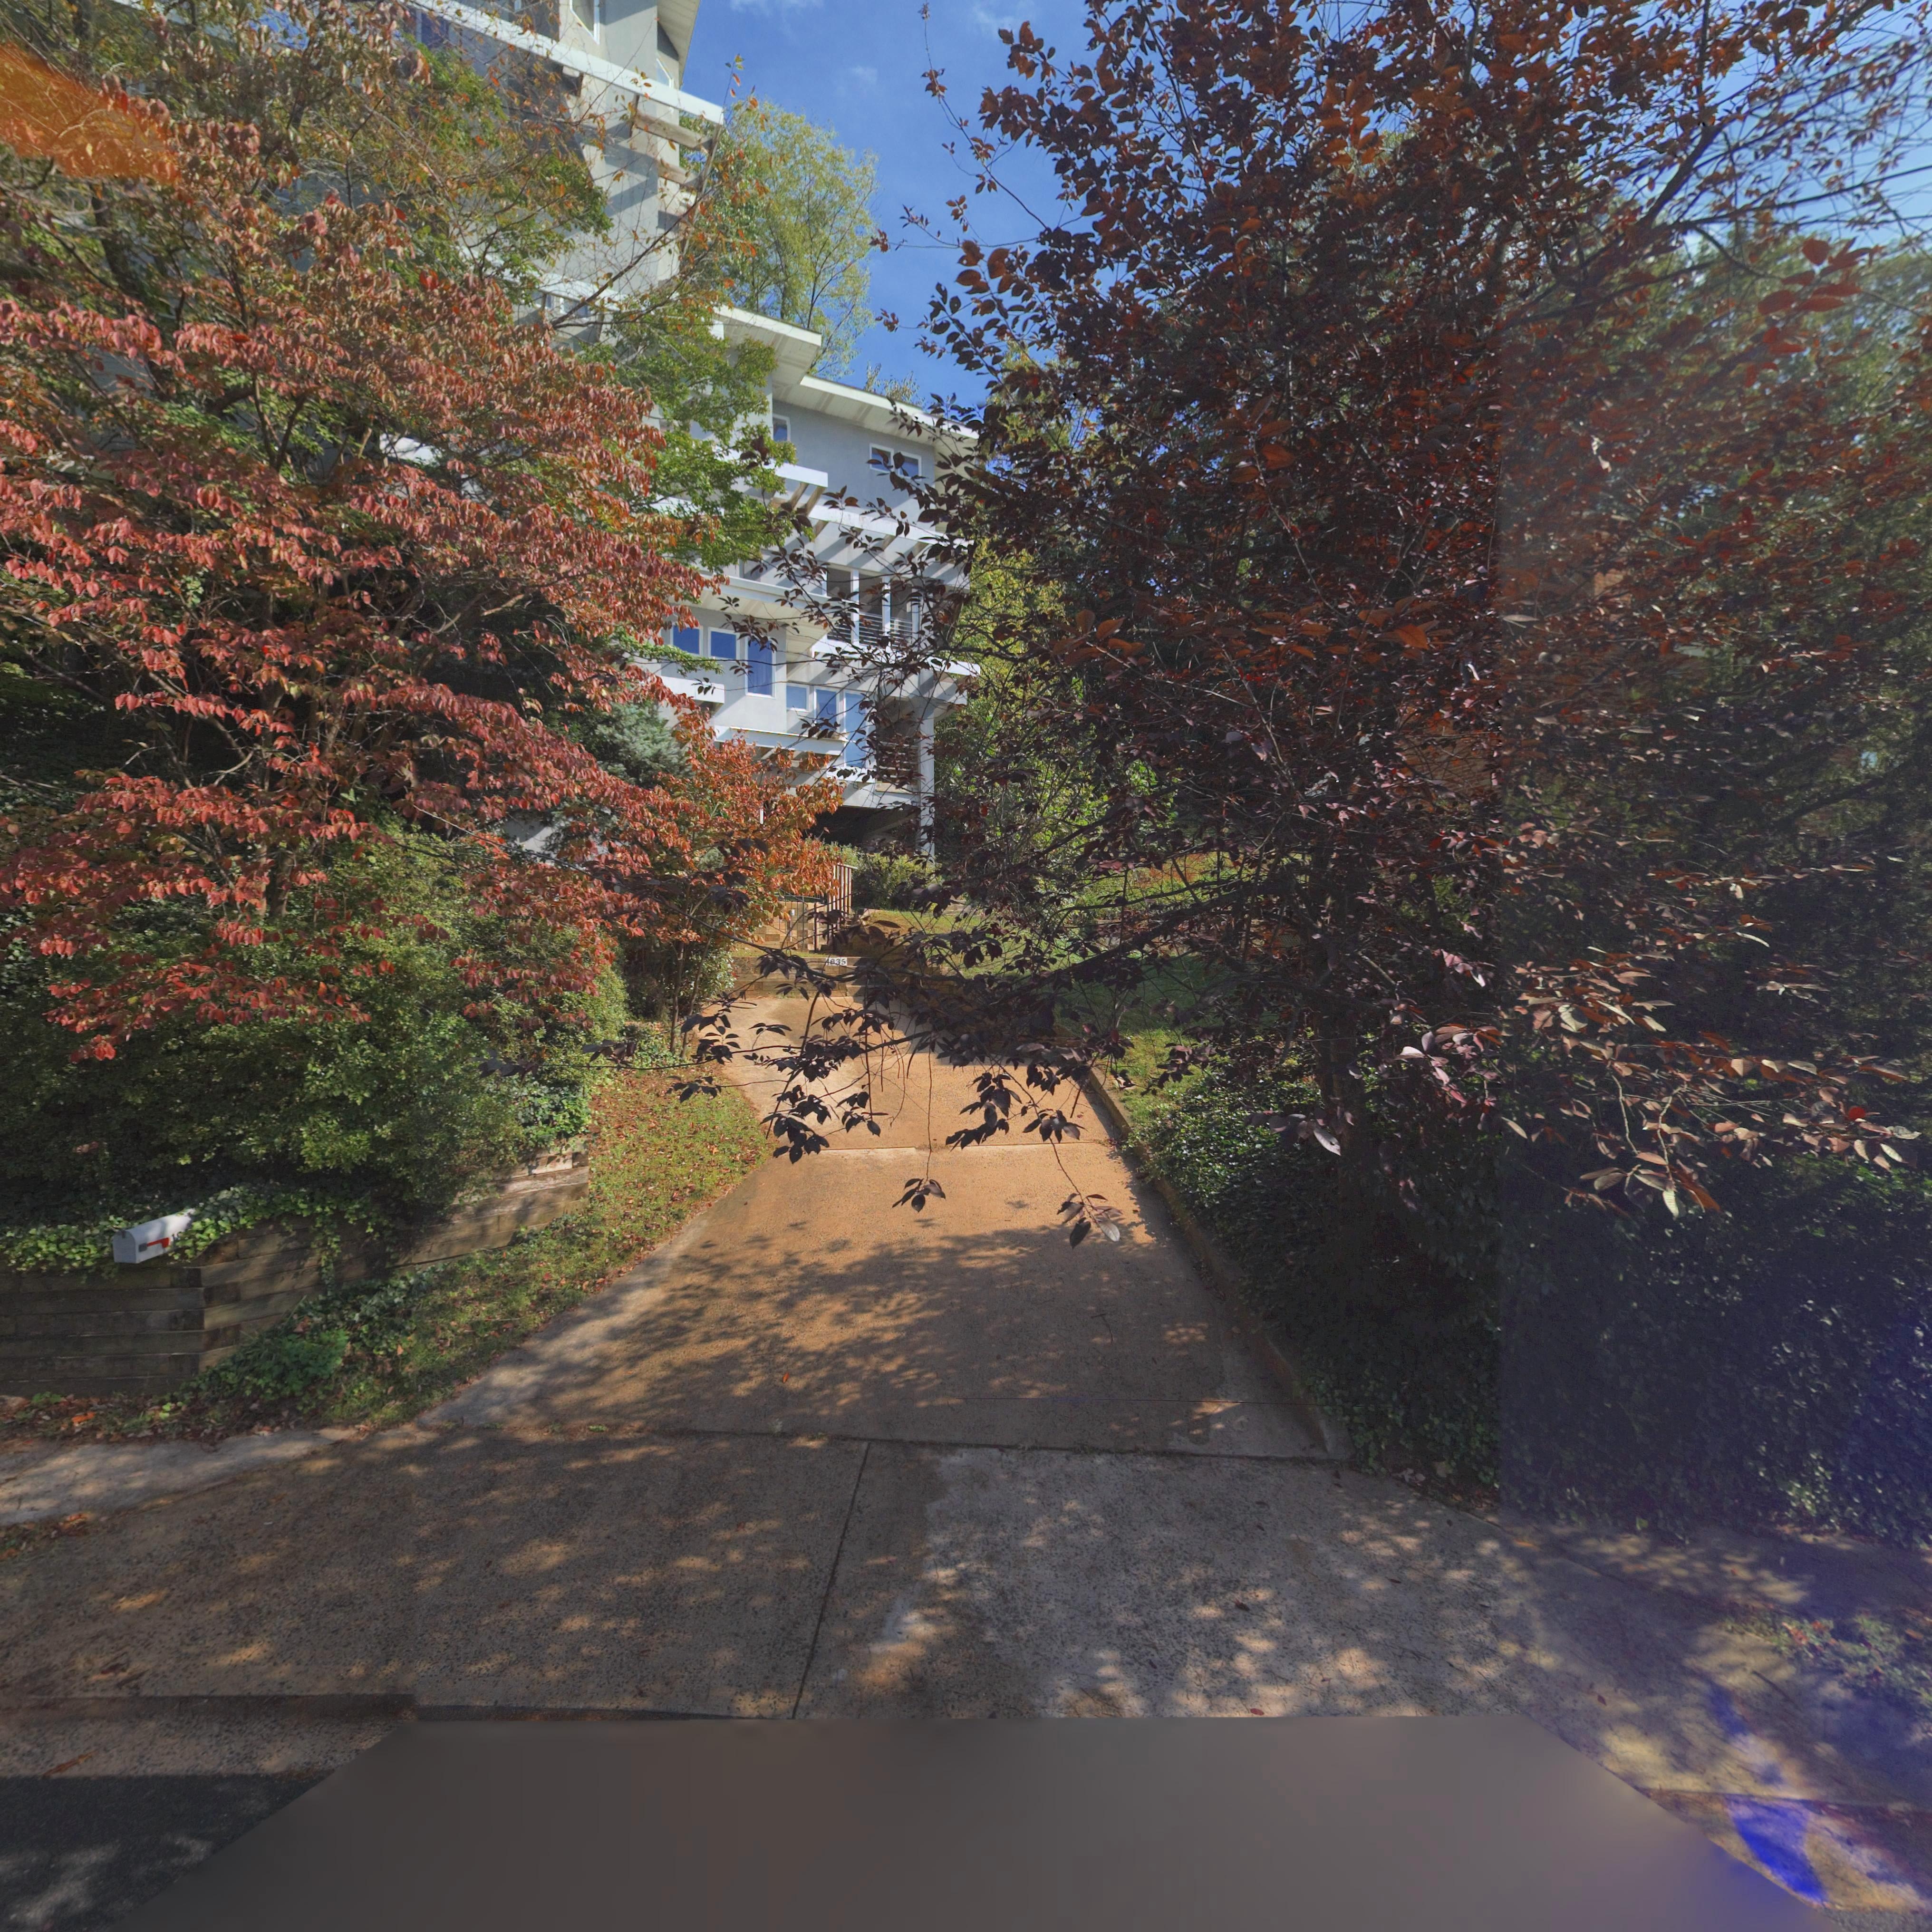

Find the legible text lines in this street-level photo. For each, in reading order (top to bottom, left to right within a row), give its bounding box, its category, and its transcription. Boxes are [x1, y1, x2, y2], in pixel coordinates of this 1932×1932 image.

[826, 957, 846, 965] StreetNumber: 1835